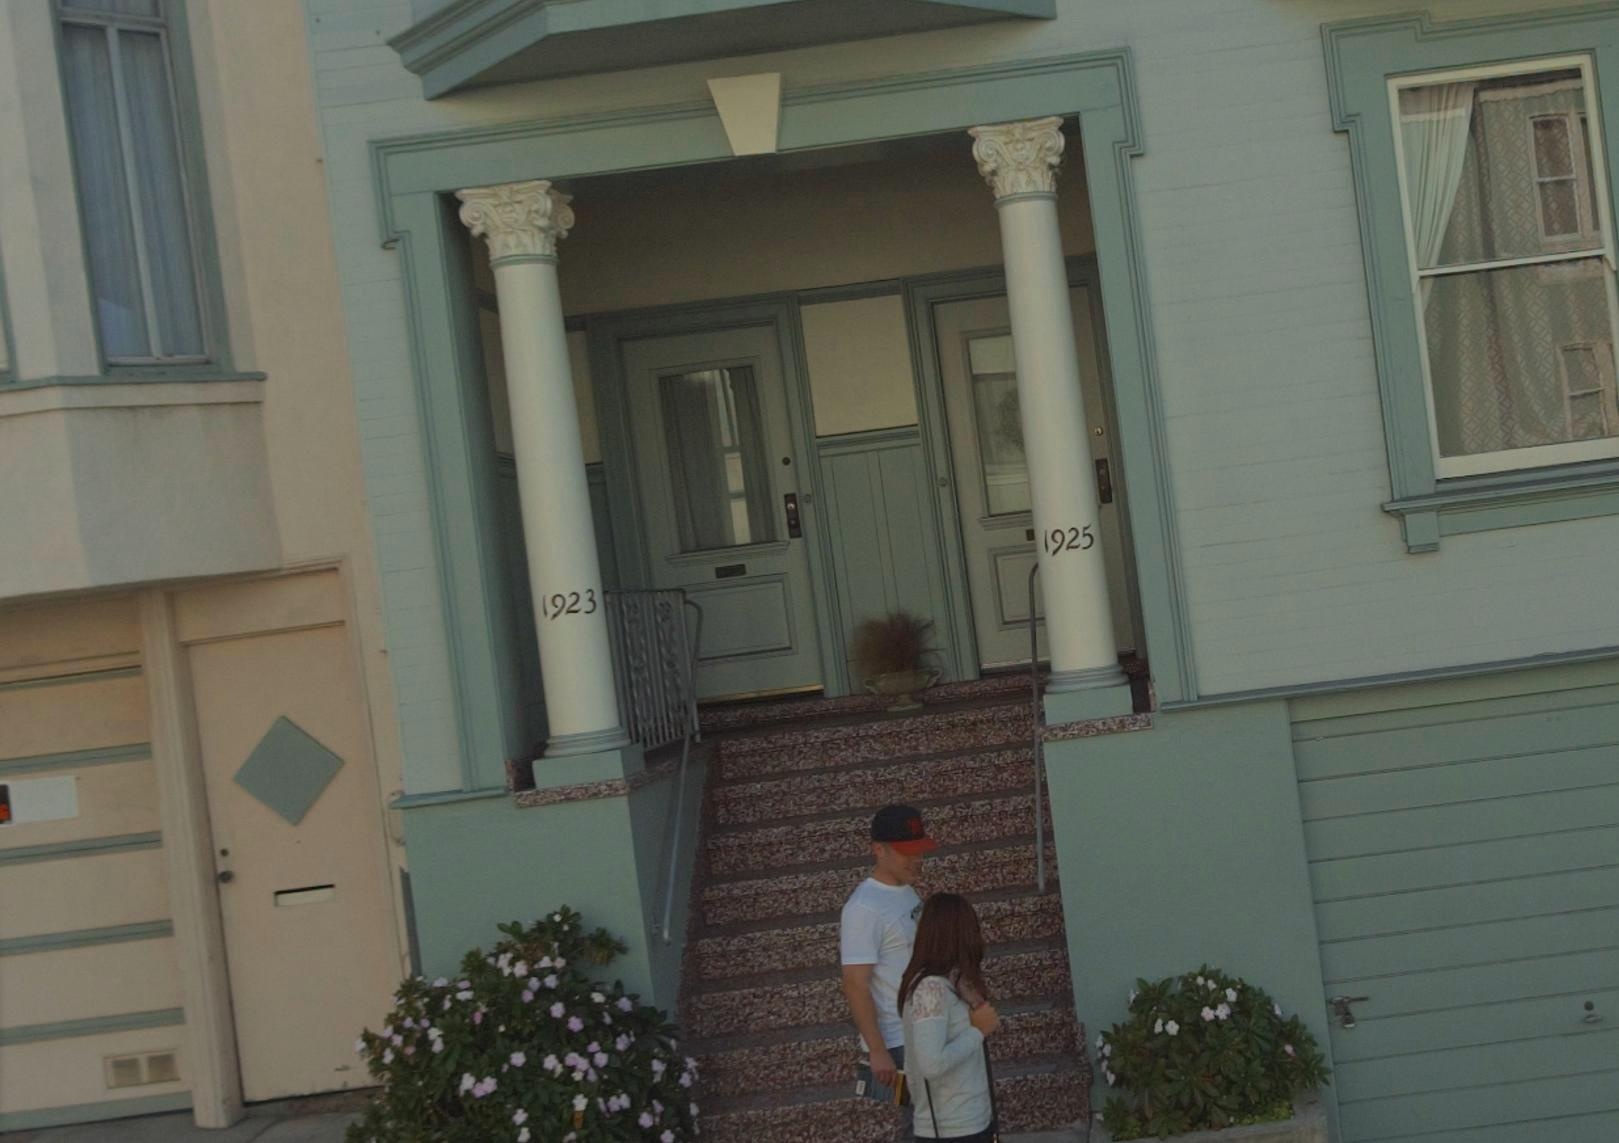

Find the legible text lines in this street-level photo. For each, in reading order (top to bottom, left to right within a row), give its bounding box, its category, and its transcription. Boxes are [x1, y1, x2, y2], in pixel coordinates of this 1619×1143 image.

[1041, 521, 1100, 560] StreetNumber: 1925
[538, 585, 601, 625] StreetNumber: 1923